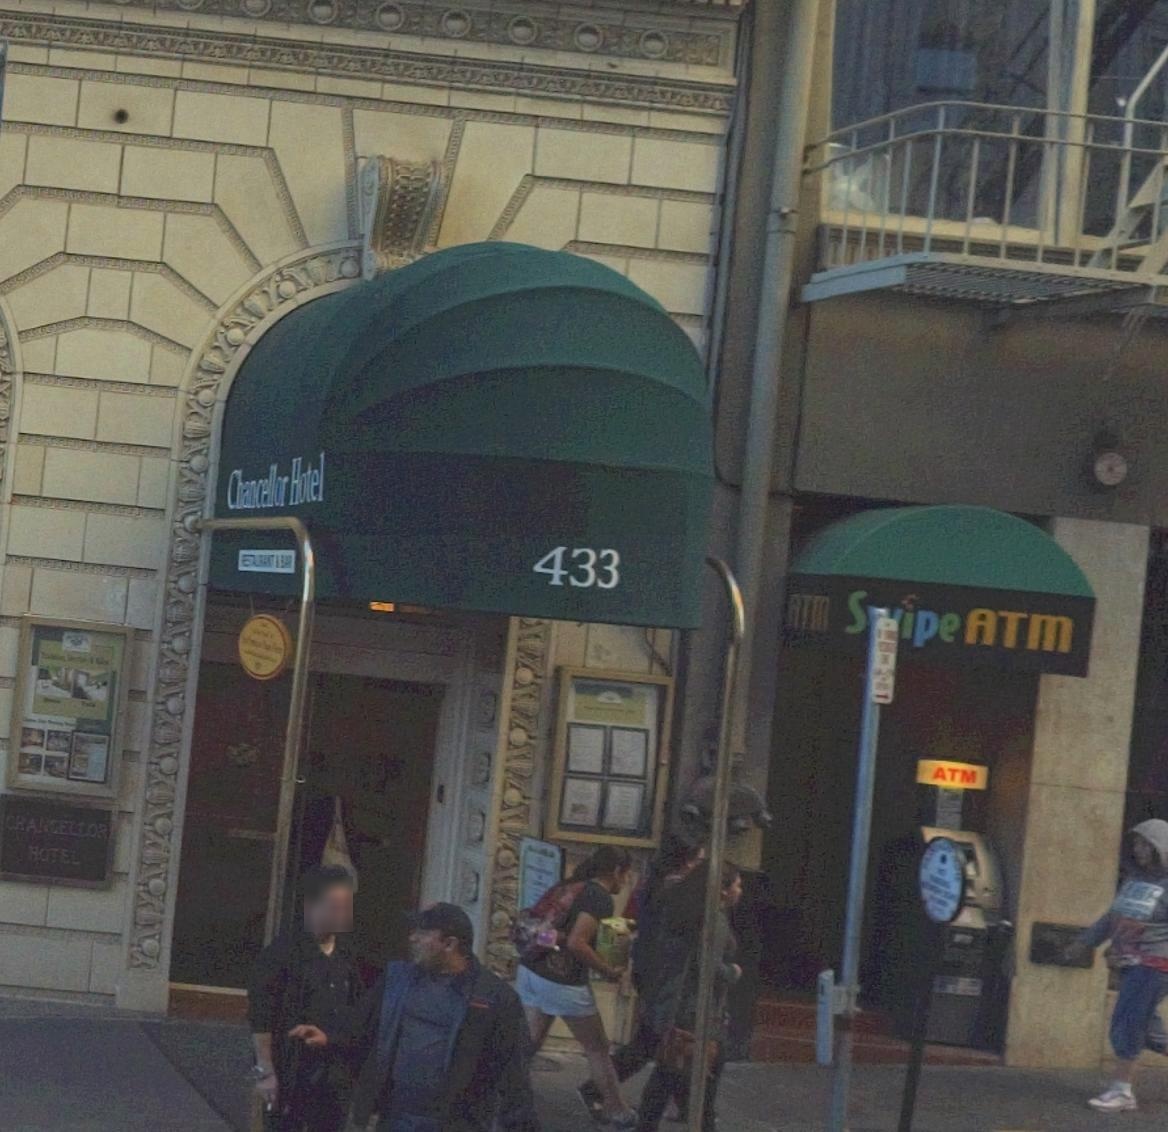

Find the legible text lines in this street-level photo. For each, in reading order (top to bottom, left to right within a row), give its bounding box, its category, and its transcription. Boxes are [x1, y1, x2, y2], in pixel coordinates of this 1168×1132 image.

[225, 448, 328, 512] BusinessName: Chancellor Hotel
[239, 553, 294, 571] None: RESTAURANT & BAR
[529, 542, 622, 590] StreetNumber: 433
[785, 589, 832, 638] None: ATM
[843, 587, 1075, 654] BusinessName: S*ipe ATM
[928, 763, 979, 786] None: ATM
[1, 812, 110, 841] BusinessName: CHANCELLOR
[25, 843, 82, 868] BusinessName: HOTEL